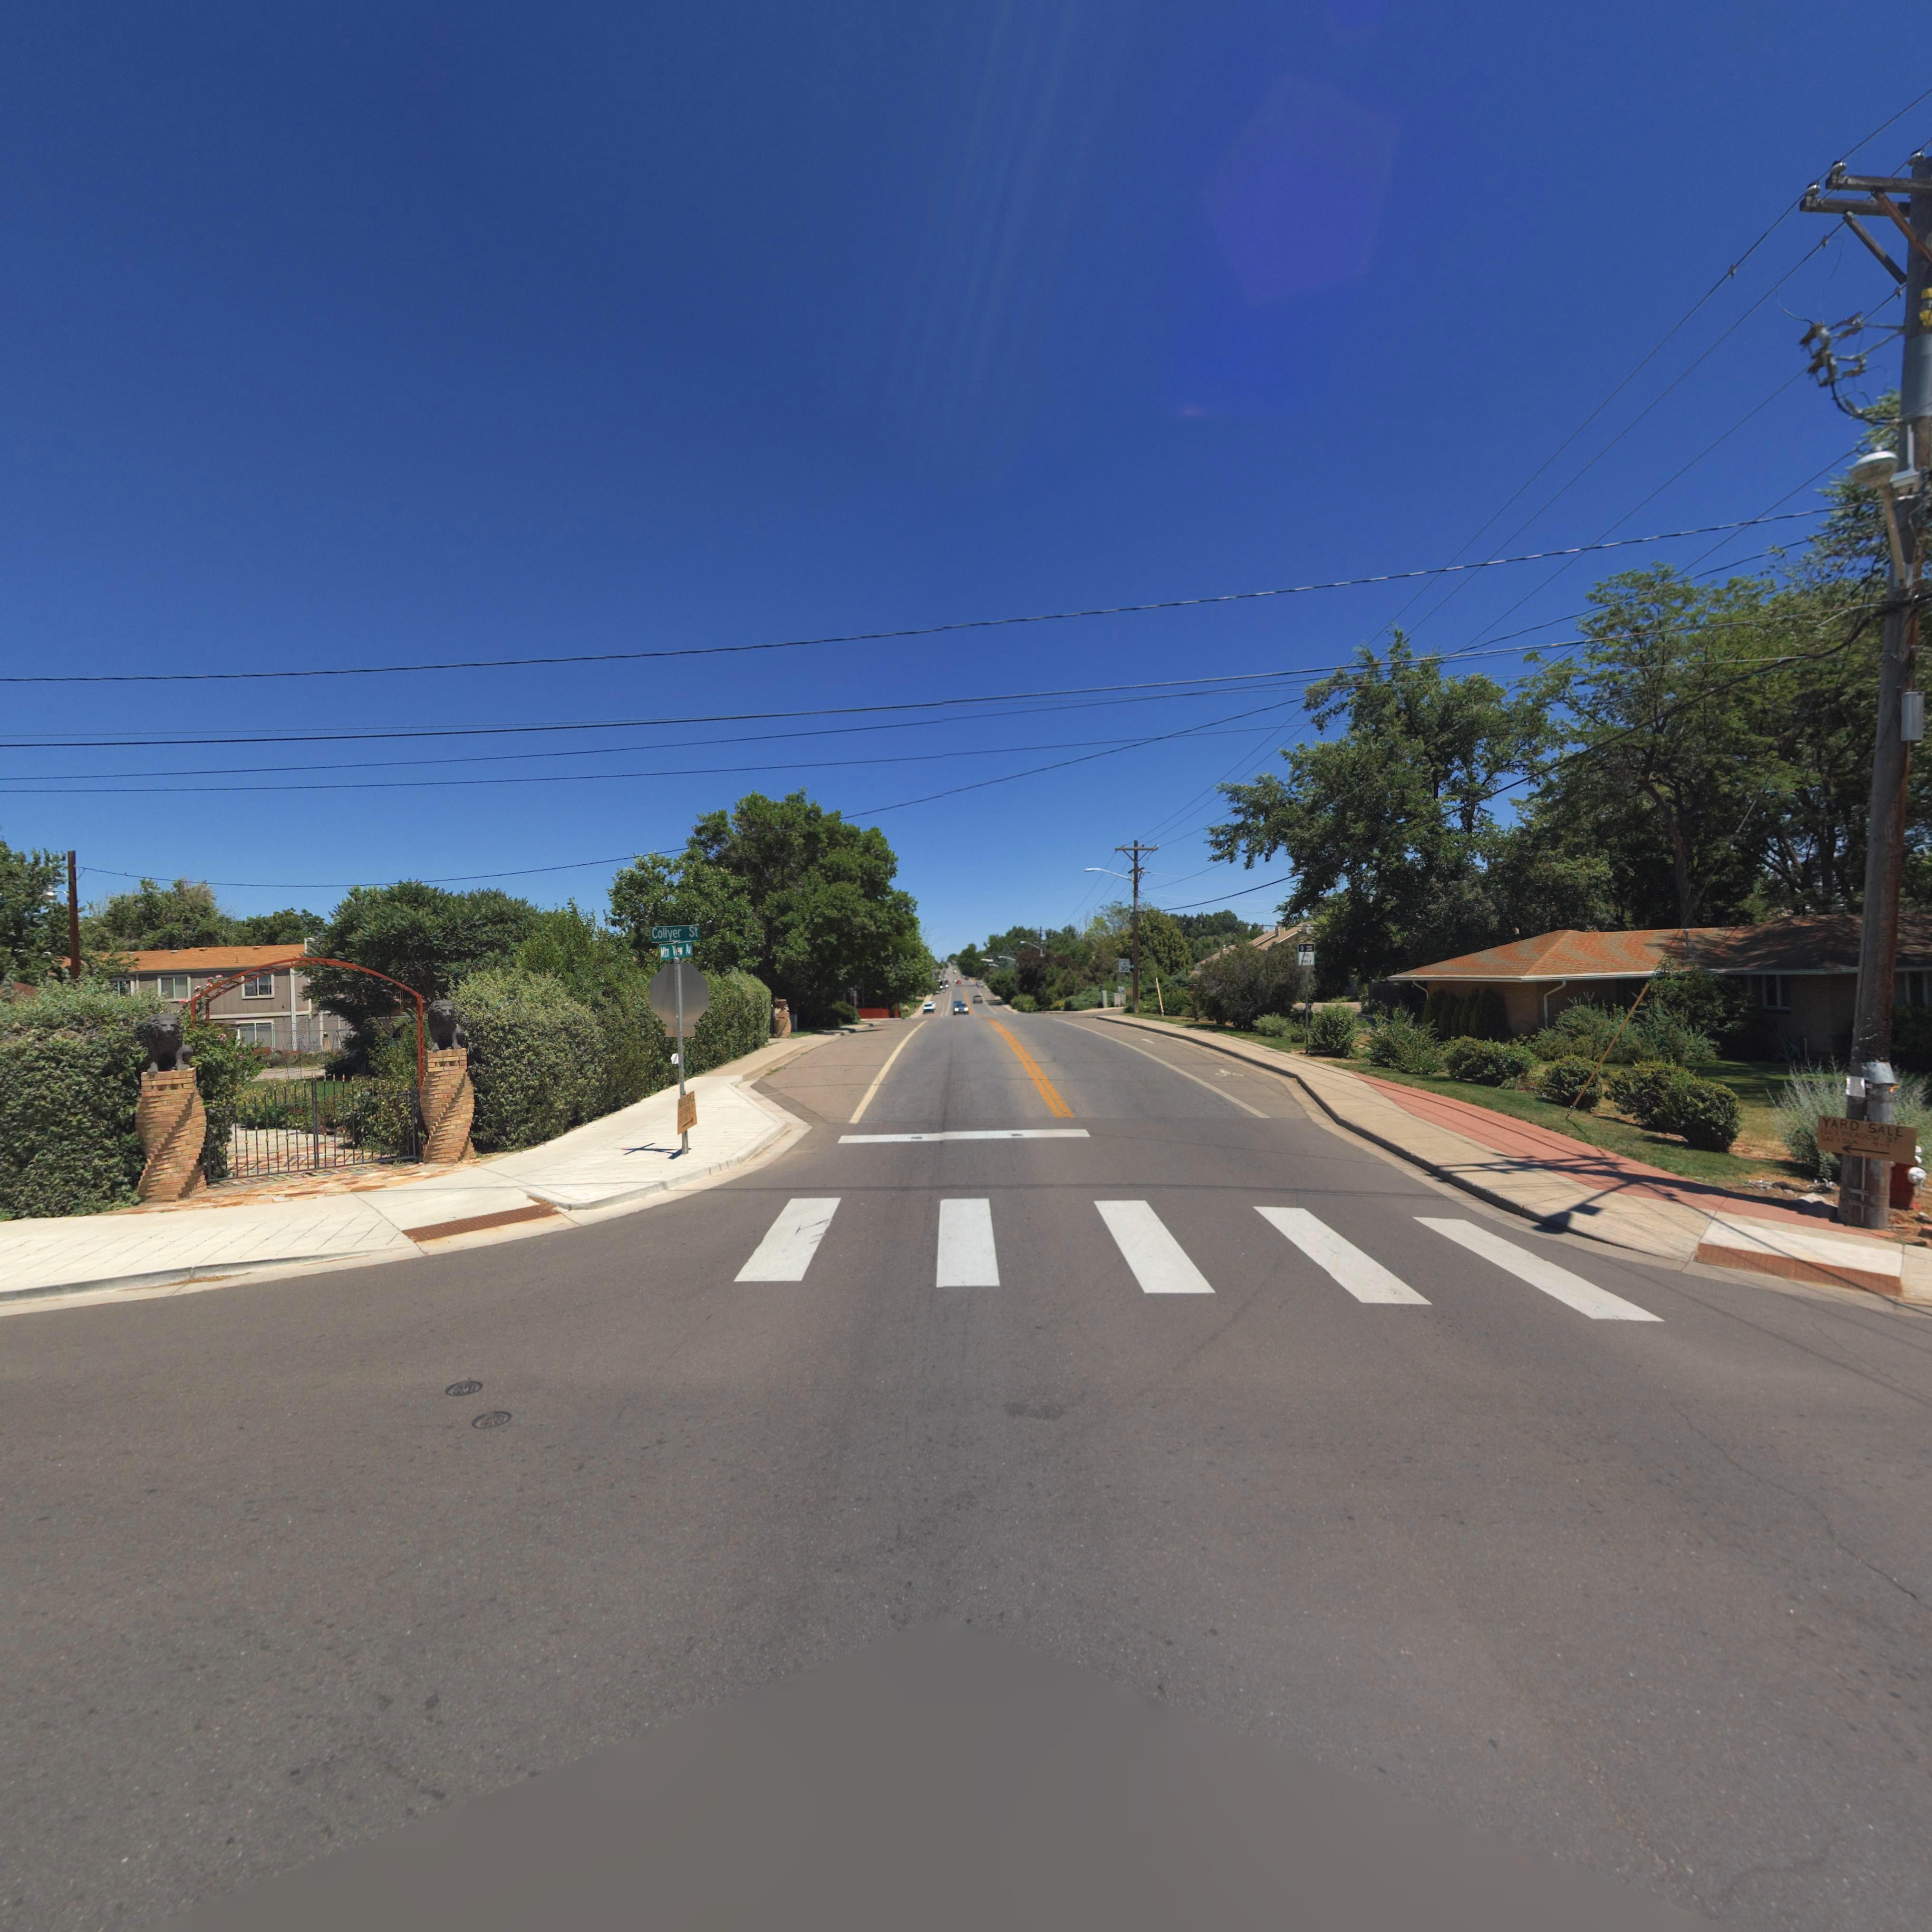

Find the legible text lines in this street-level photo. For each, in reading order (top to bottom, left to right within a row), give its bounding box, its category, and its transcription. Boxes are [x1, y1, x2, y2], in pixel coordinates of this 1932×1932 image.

[652, 926, 698, 940] StreetName: Collyer St
[661, 944, 691, 958] StreetName: Mtn View Av